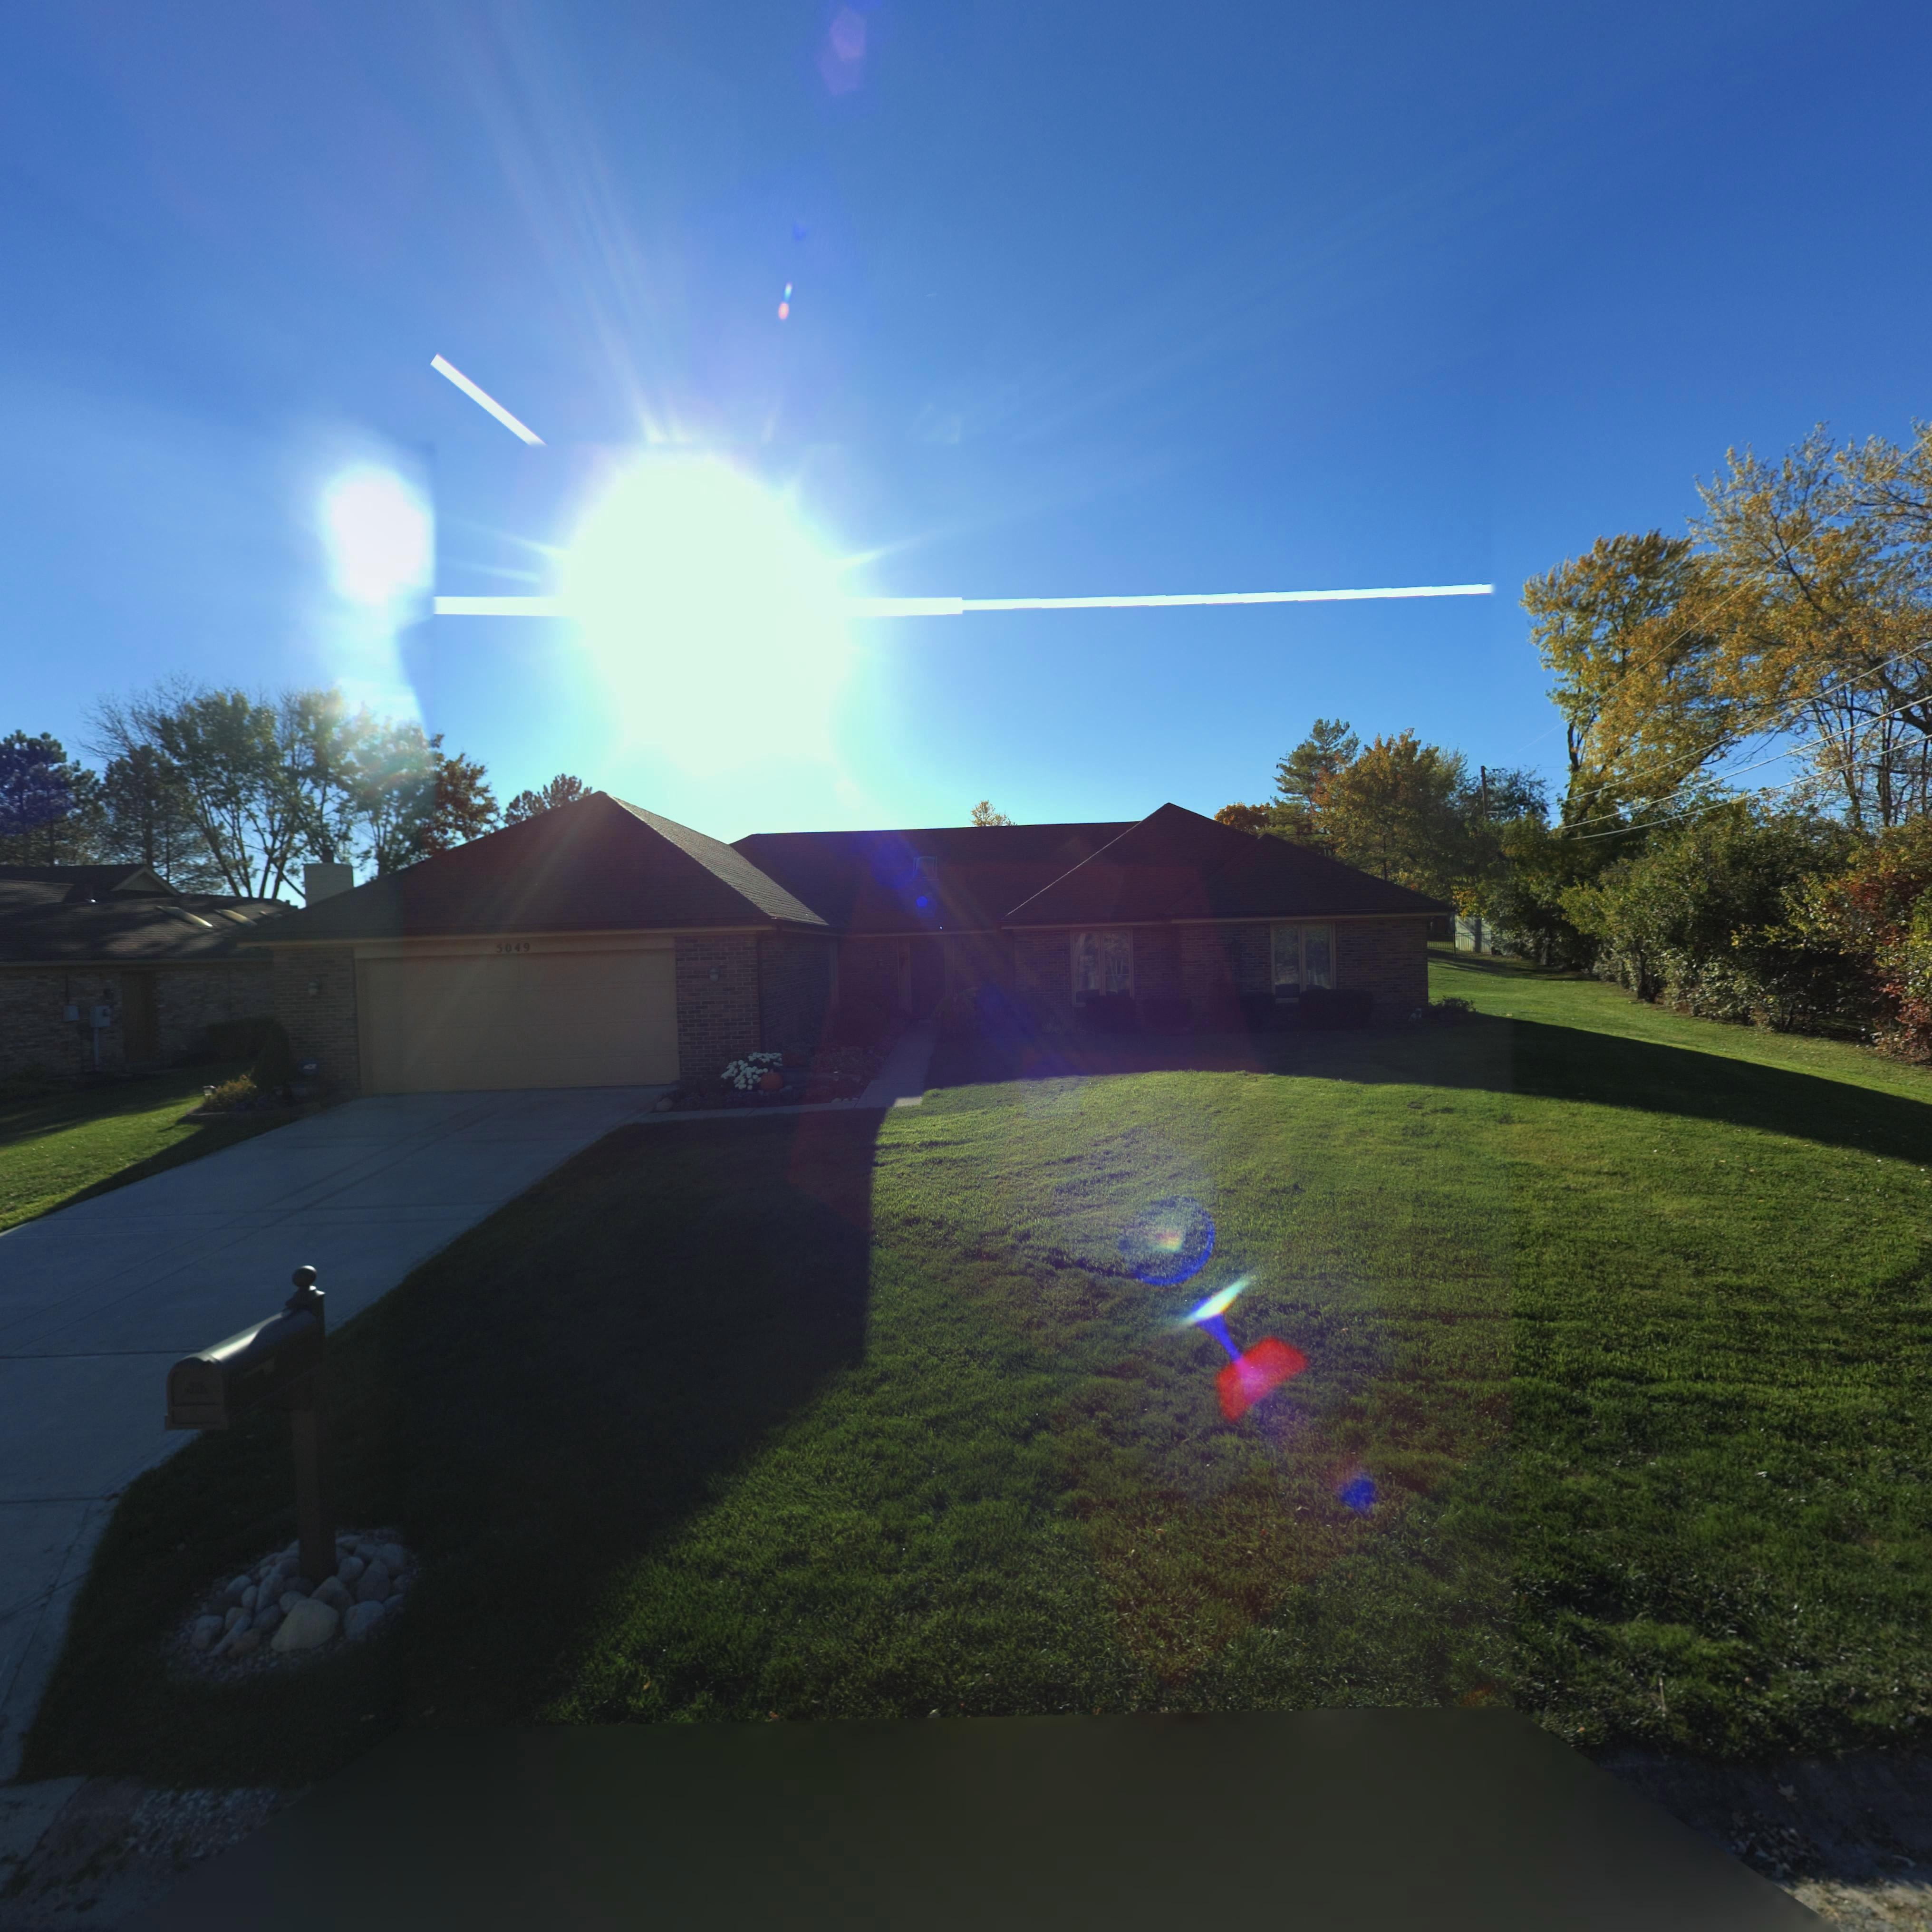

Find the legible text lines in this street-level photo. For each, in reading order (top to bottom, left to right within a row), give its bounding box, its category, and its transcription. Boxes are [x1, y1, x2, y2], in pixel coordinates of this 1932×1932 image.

[495, 942, 531, 954] StreetNumber: 5049